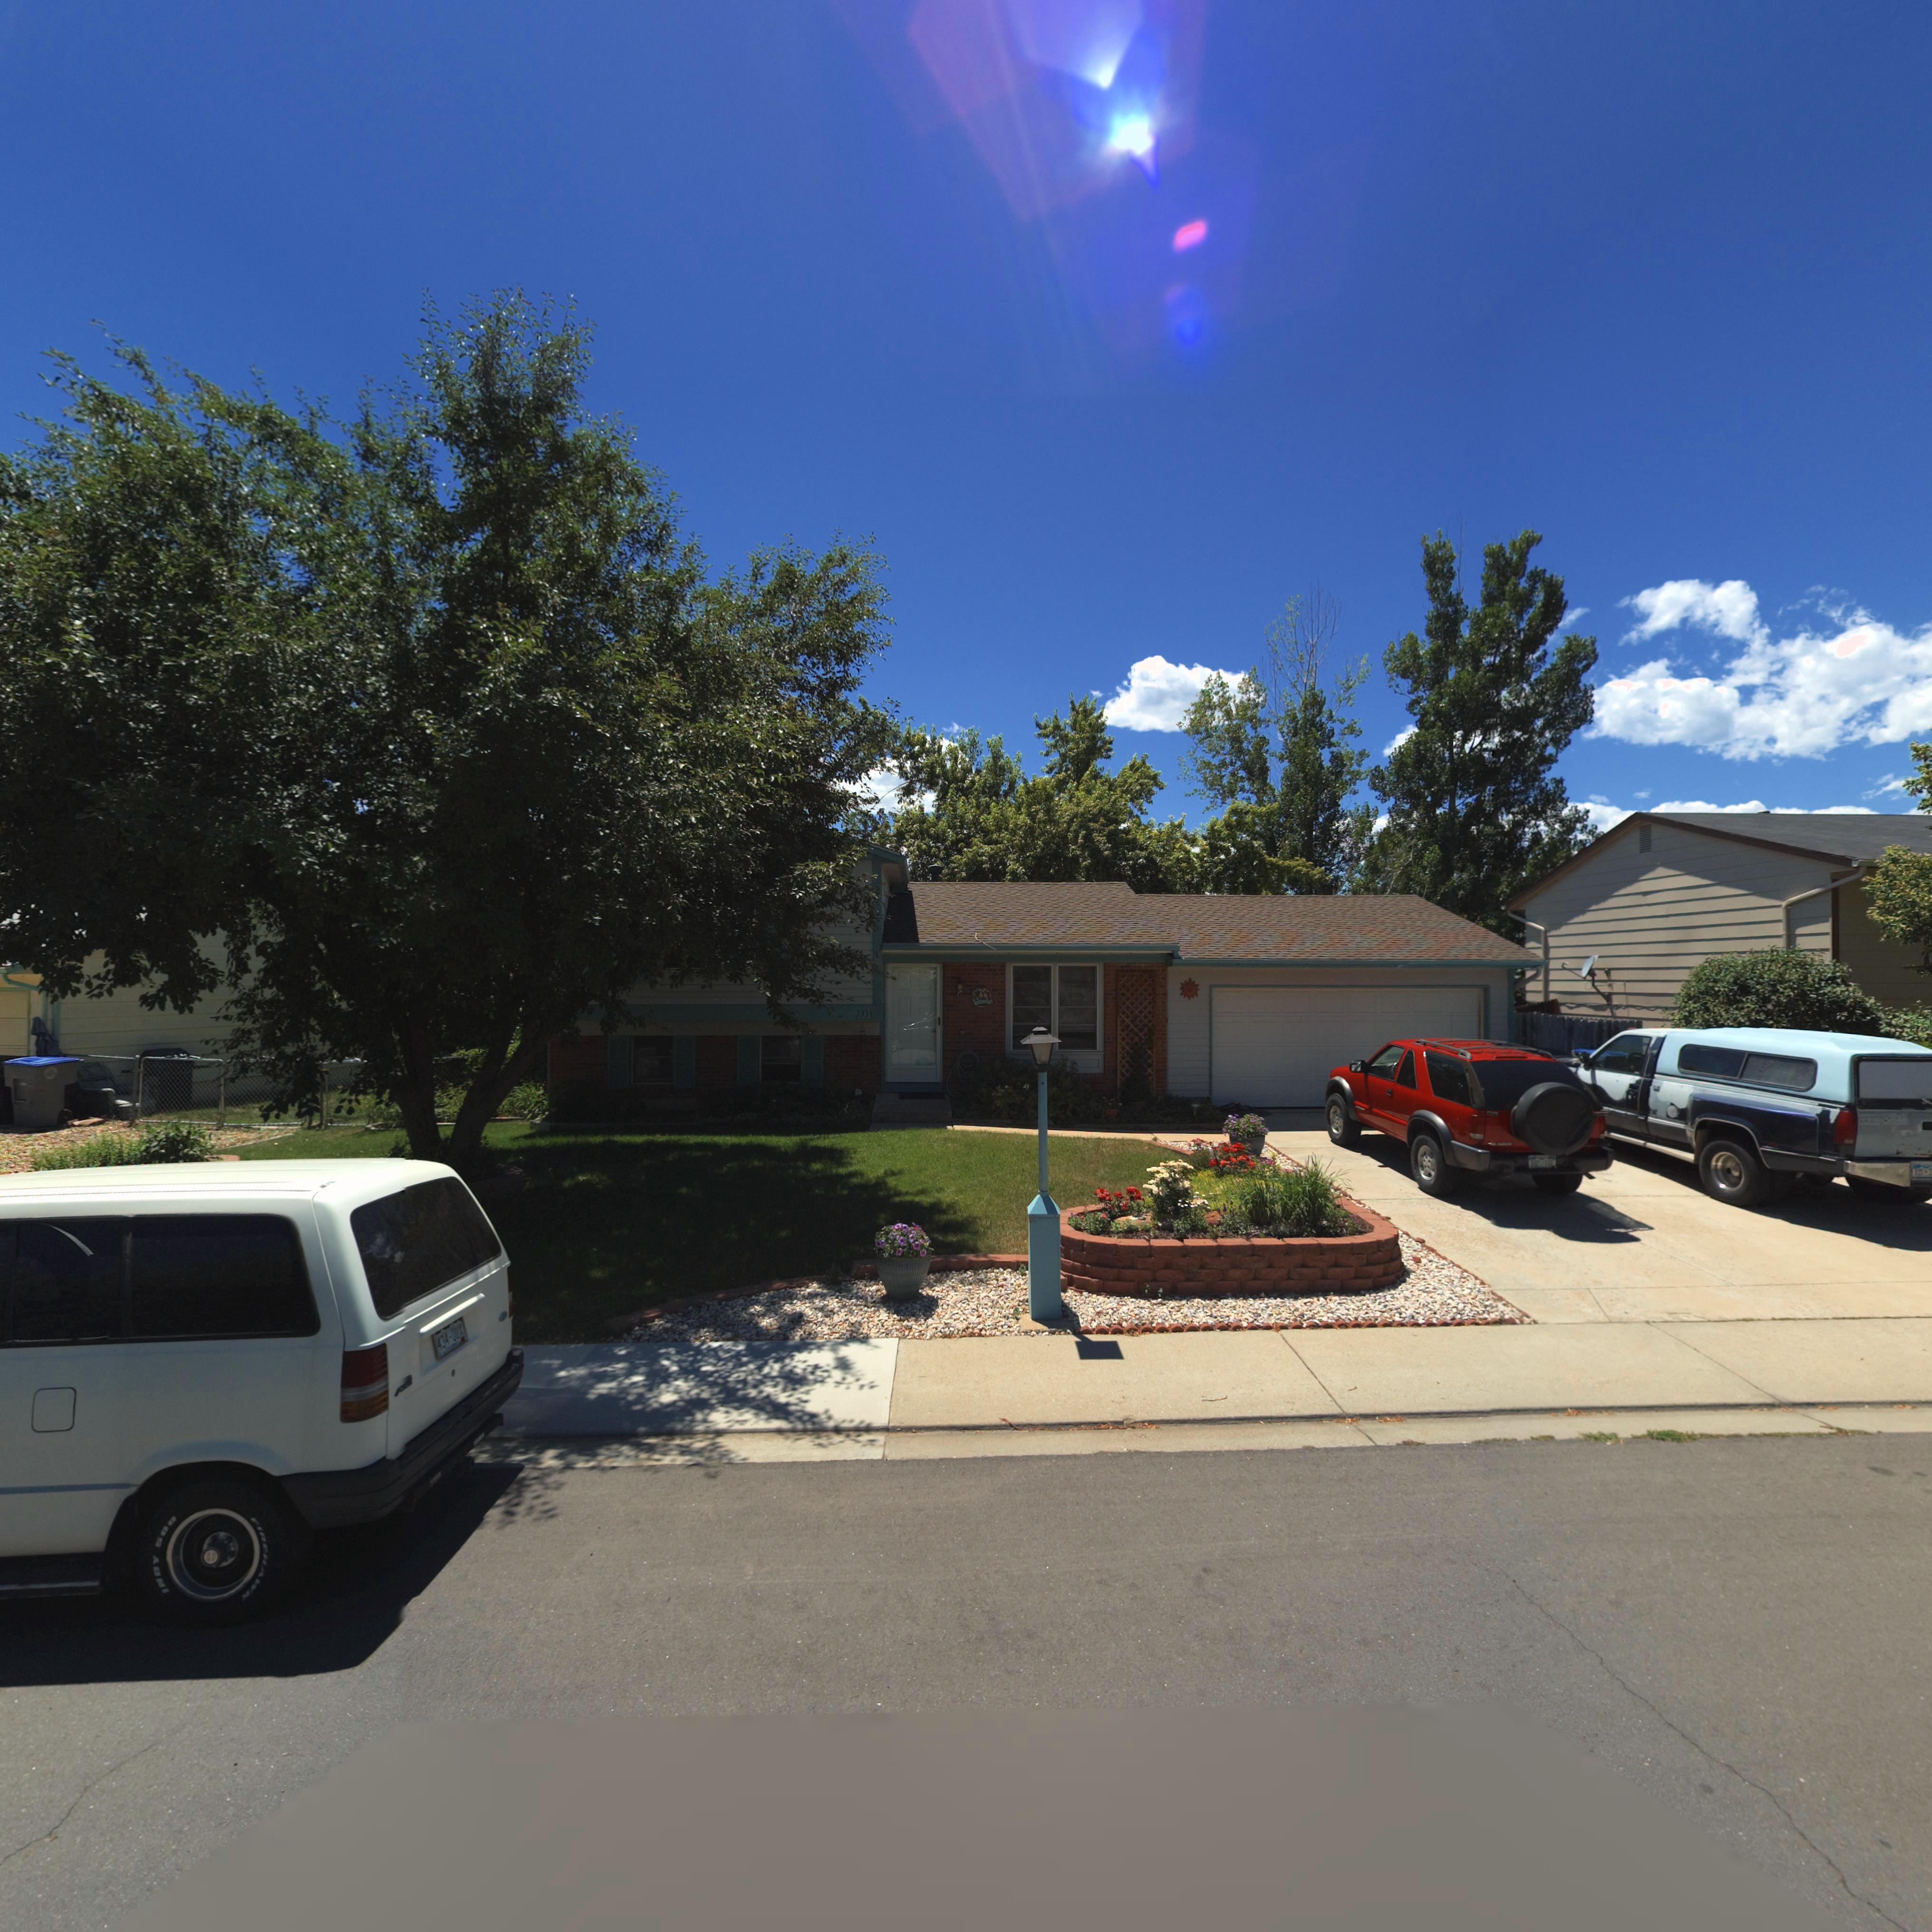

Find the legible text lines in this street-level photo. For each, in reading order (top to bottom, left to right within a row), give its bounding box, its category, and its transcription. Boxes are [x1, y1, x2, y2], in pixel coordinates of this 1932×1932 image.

[855, 1010, 873, 1017] StreetNumber: 2335